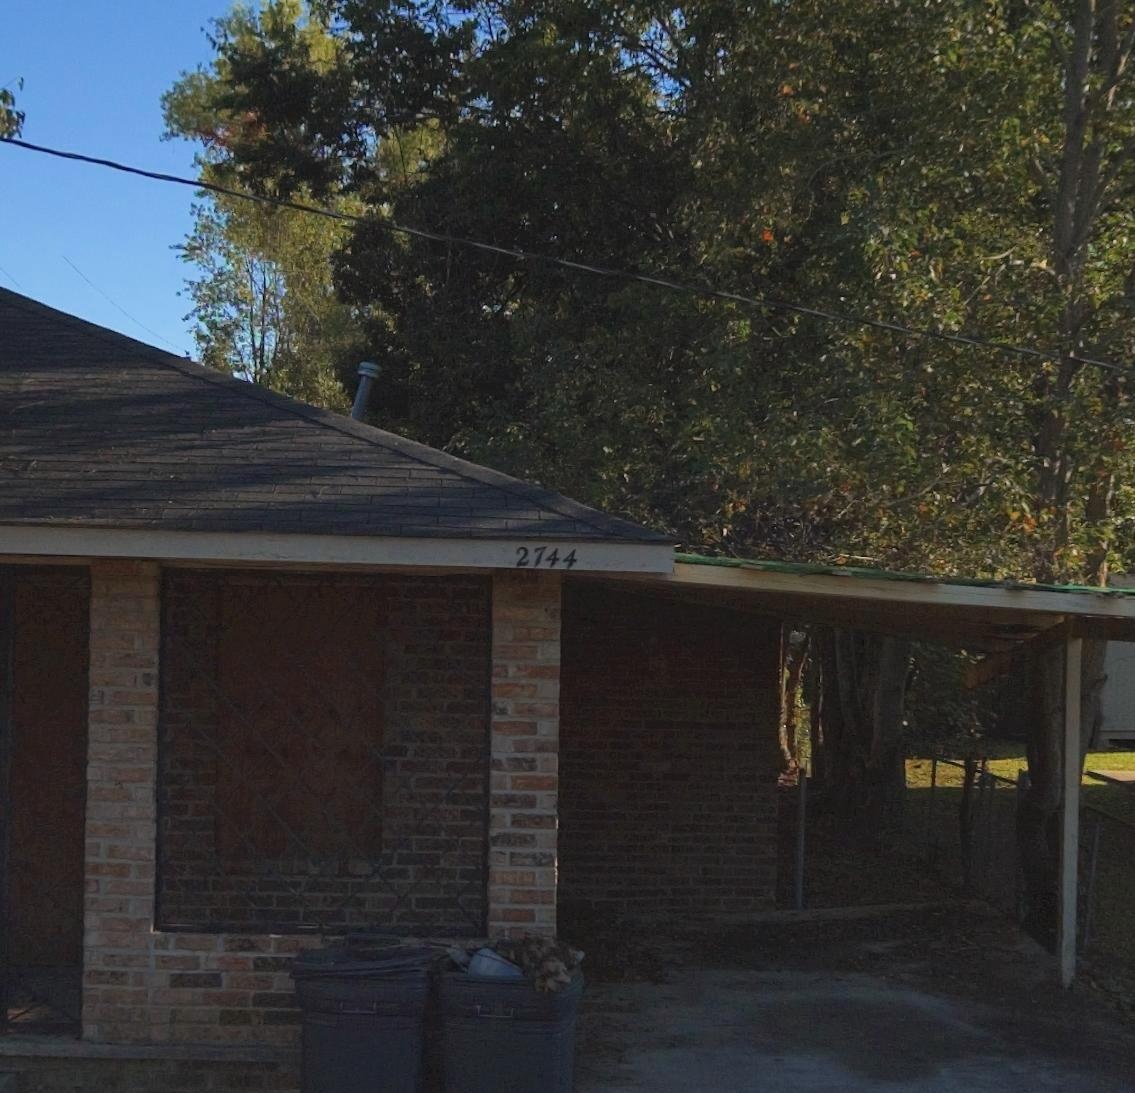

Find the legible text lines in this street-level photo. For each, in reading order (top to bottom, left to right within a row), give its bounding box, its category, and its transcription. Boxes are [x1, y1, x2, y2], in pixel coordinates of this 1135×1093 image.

[513, 543, 580, 570] StreetNumber: 2744